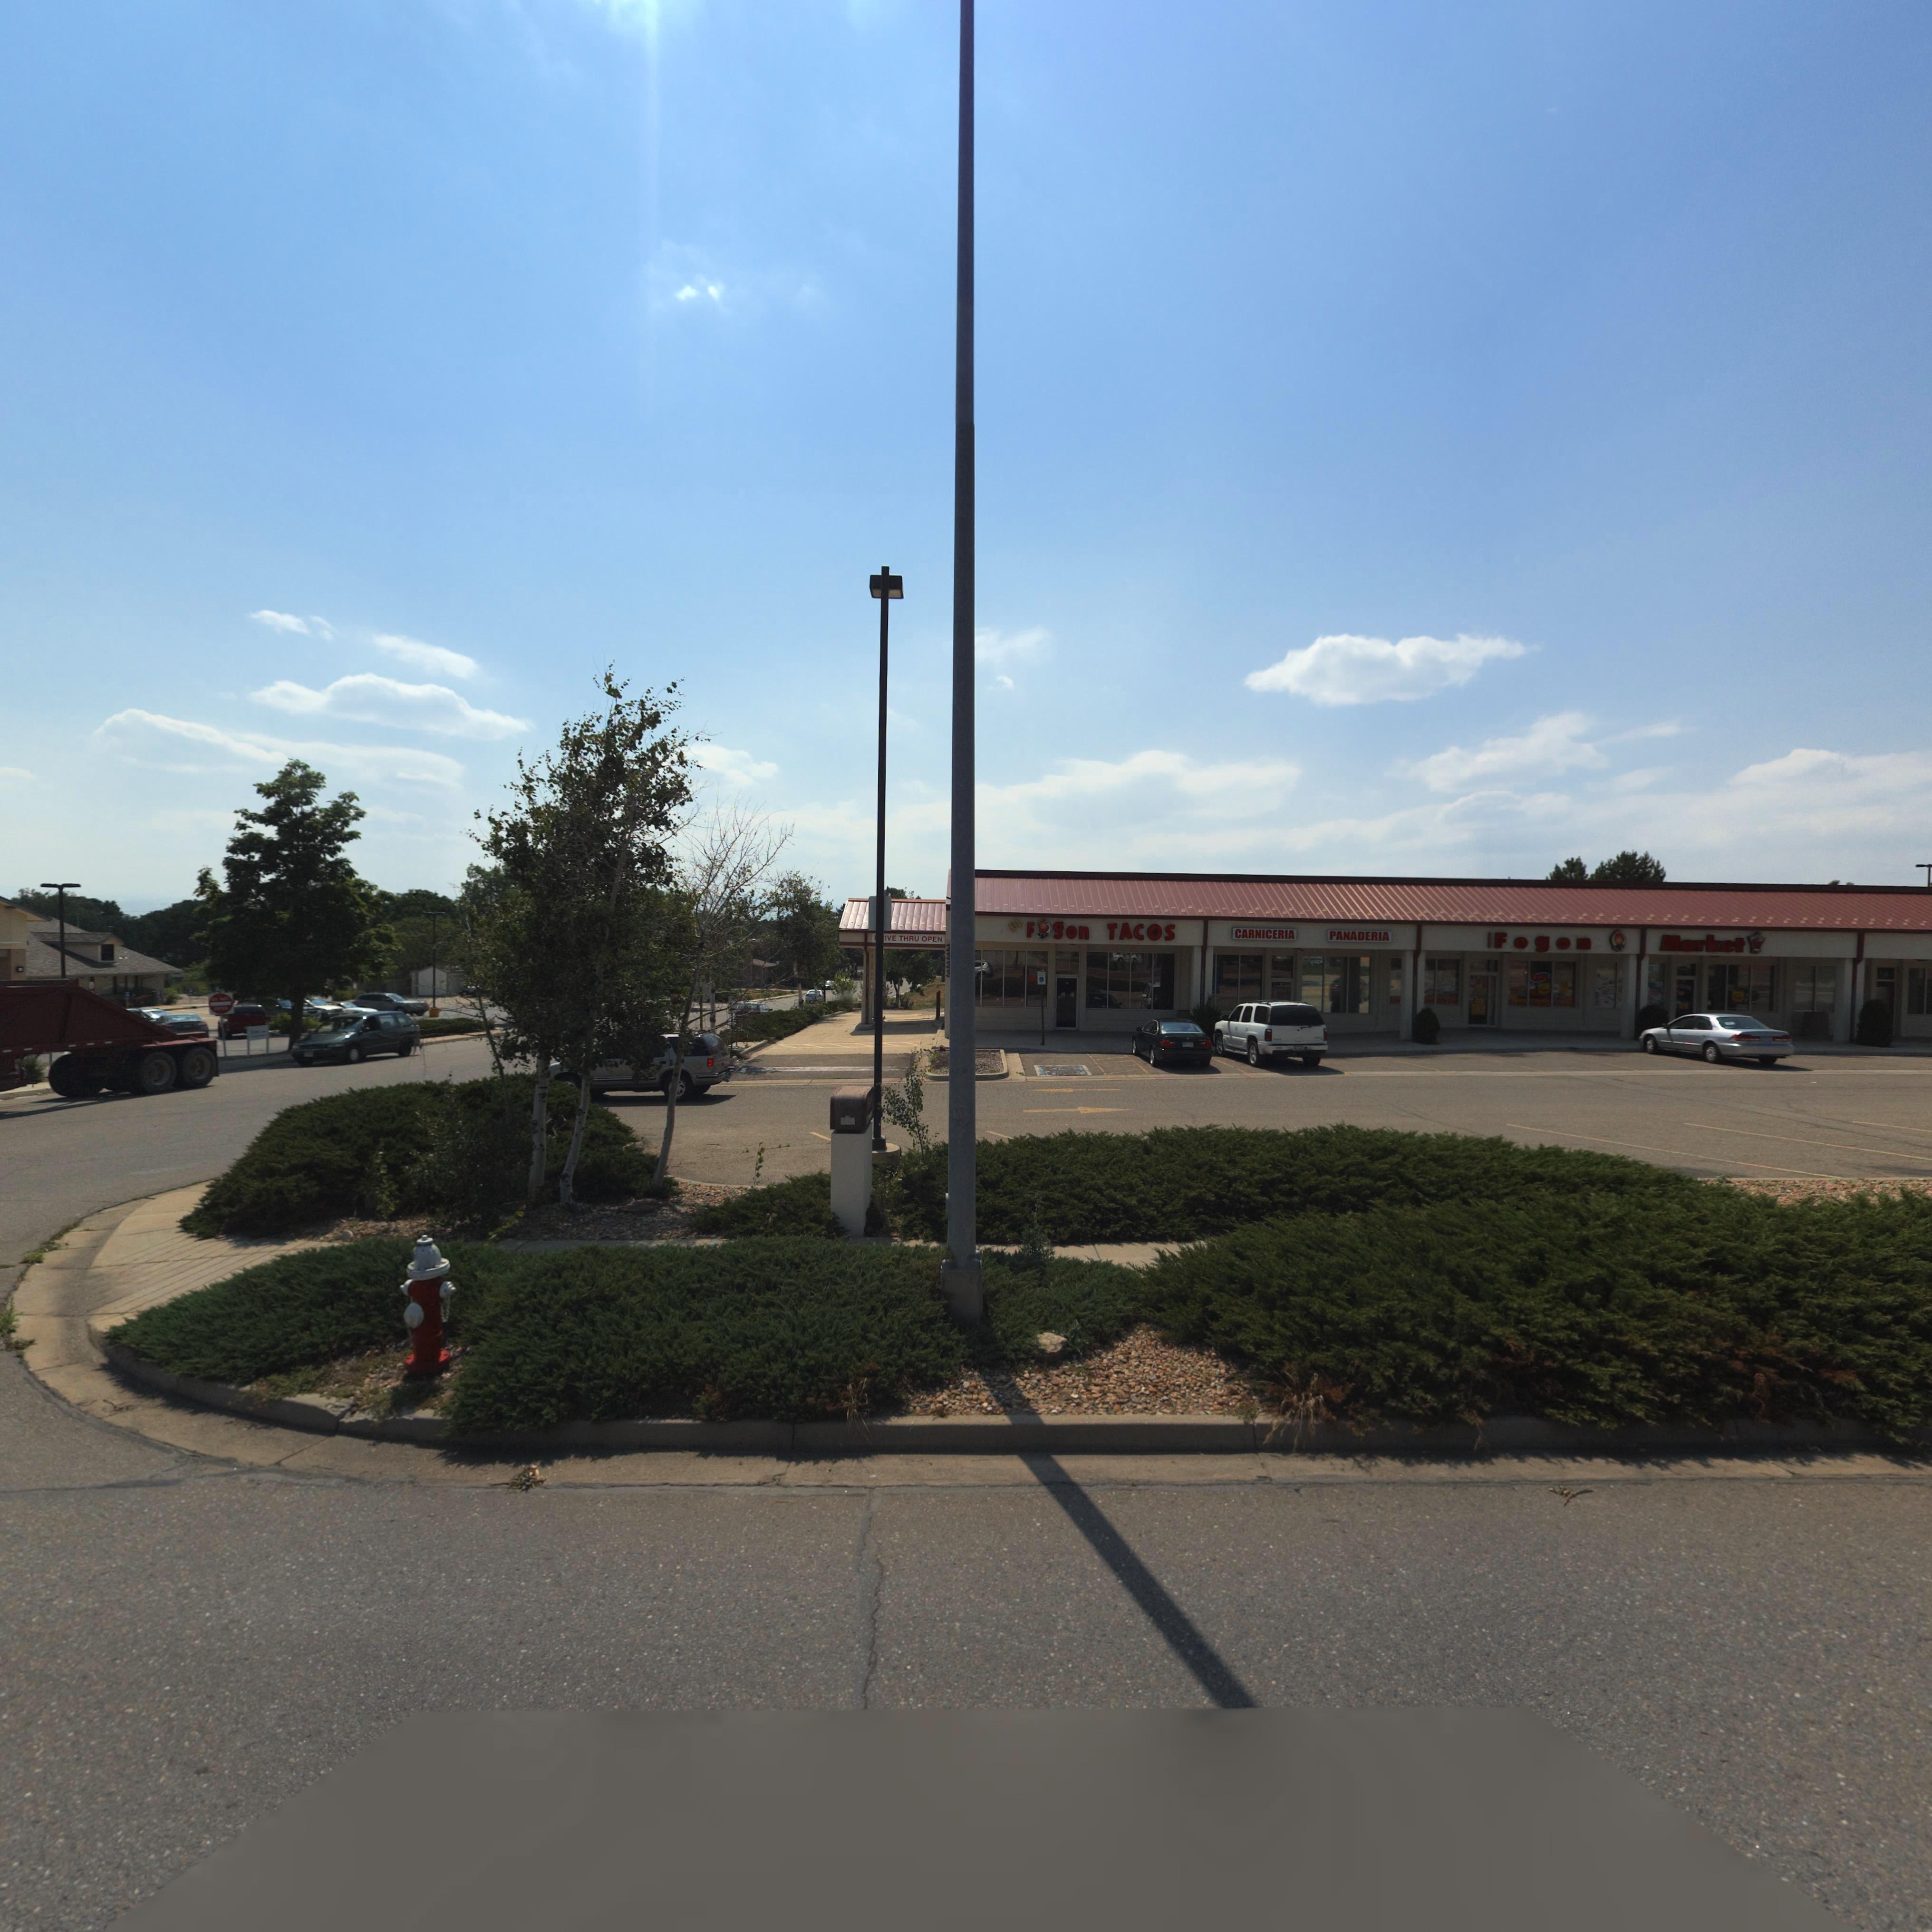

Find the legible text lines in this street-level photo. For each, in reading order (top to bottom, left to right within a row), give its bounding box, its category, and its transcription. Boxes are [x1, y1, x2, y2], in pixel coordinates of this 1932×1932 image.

[1007, 918, 1023, 932] BusinessName: EL
[1026, 918, 1176, 941] BusinessName: F*gon TACOS
[1494, 931, 1593, 953] BusinessName: Fogon
[1659, 934, 1746, 953] BusinessName: Market
[946, 943, 950, 978] StreetNumber: 2333